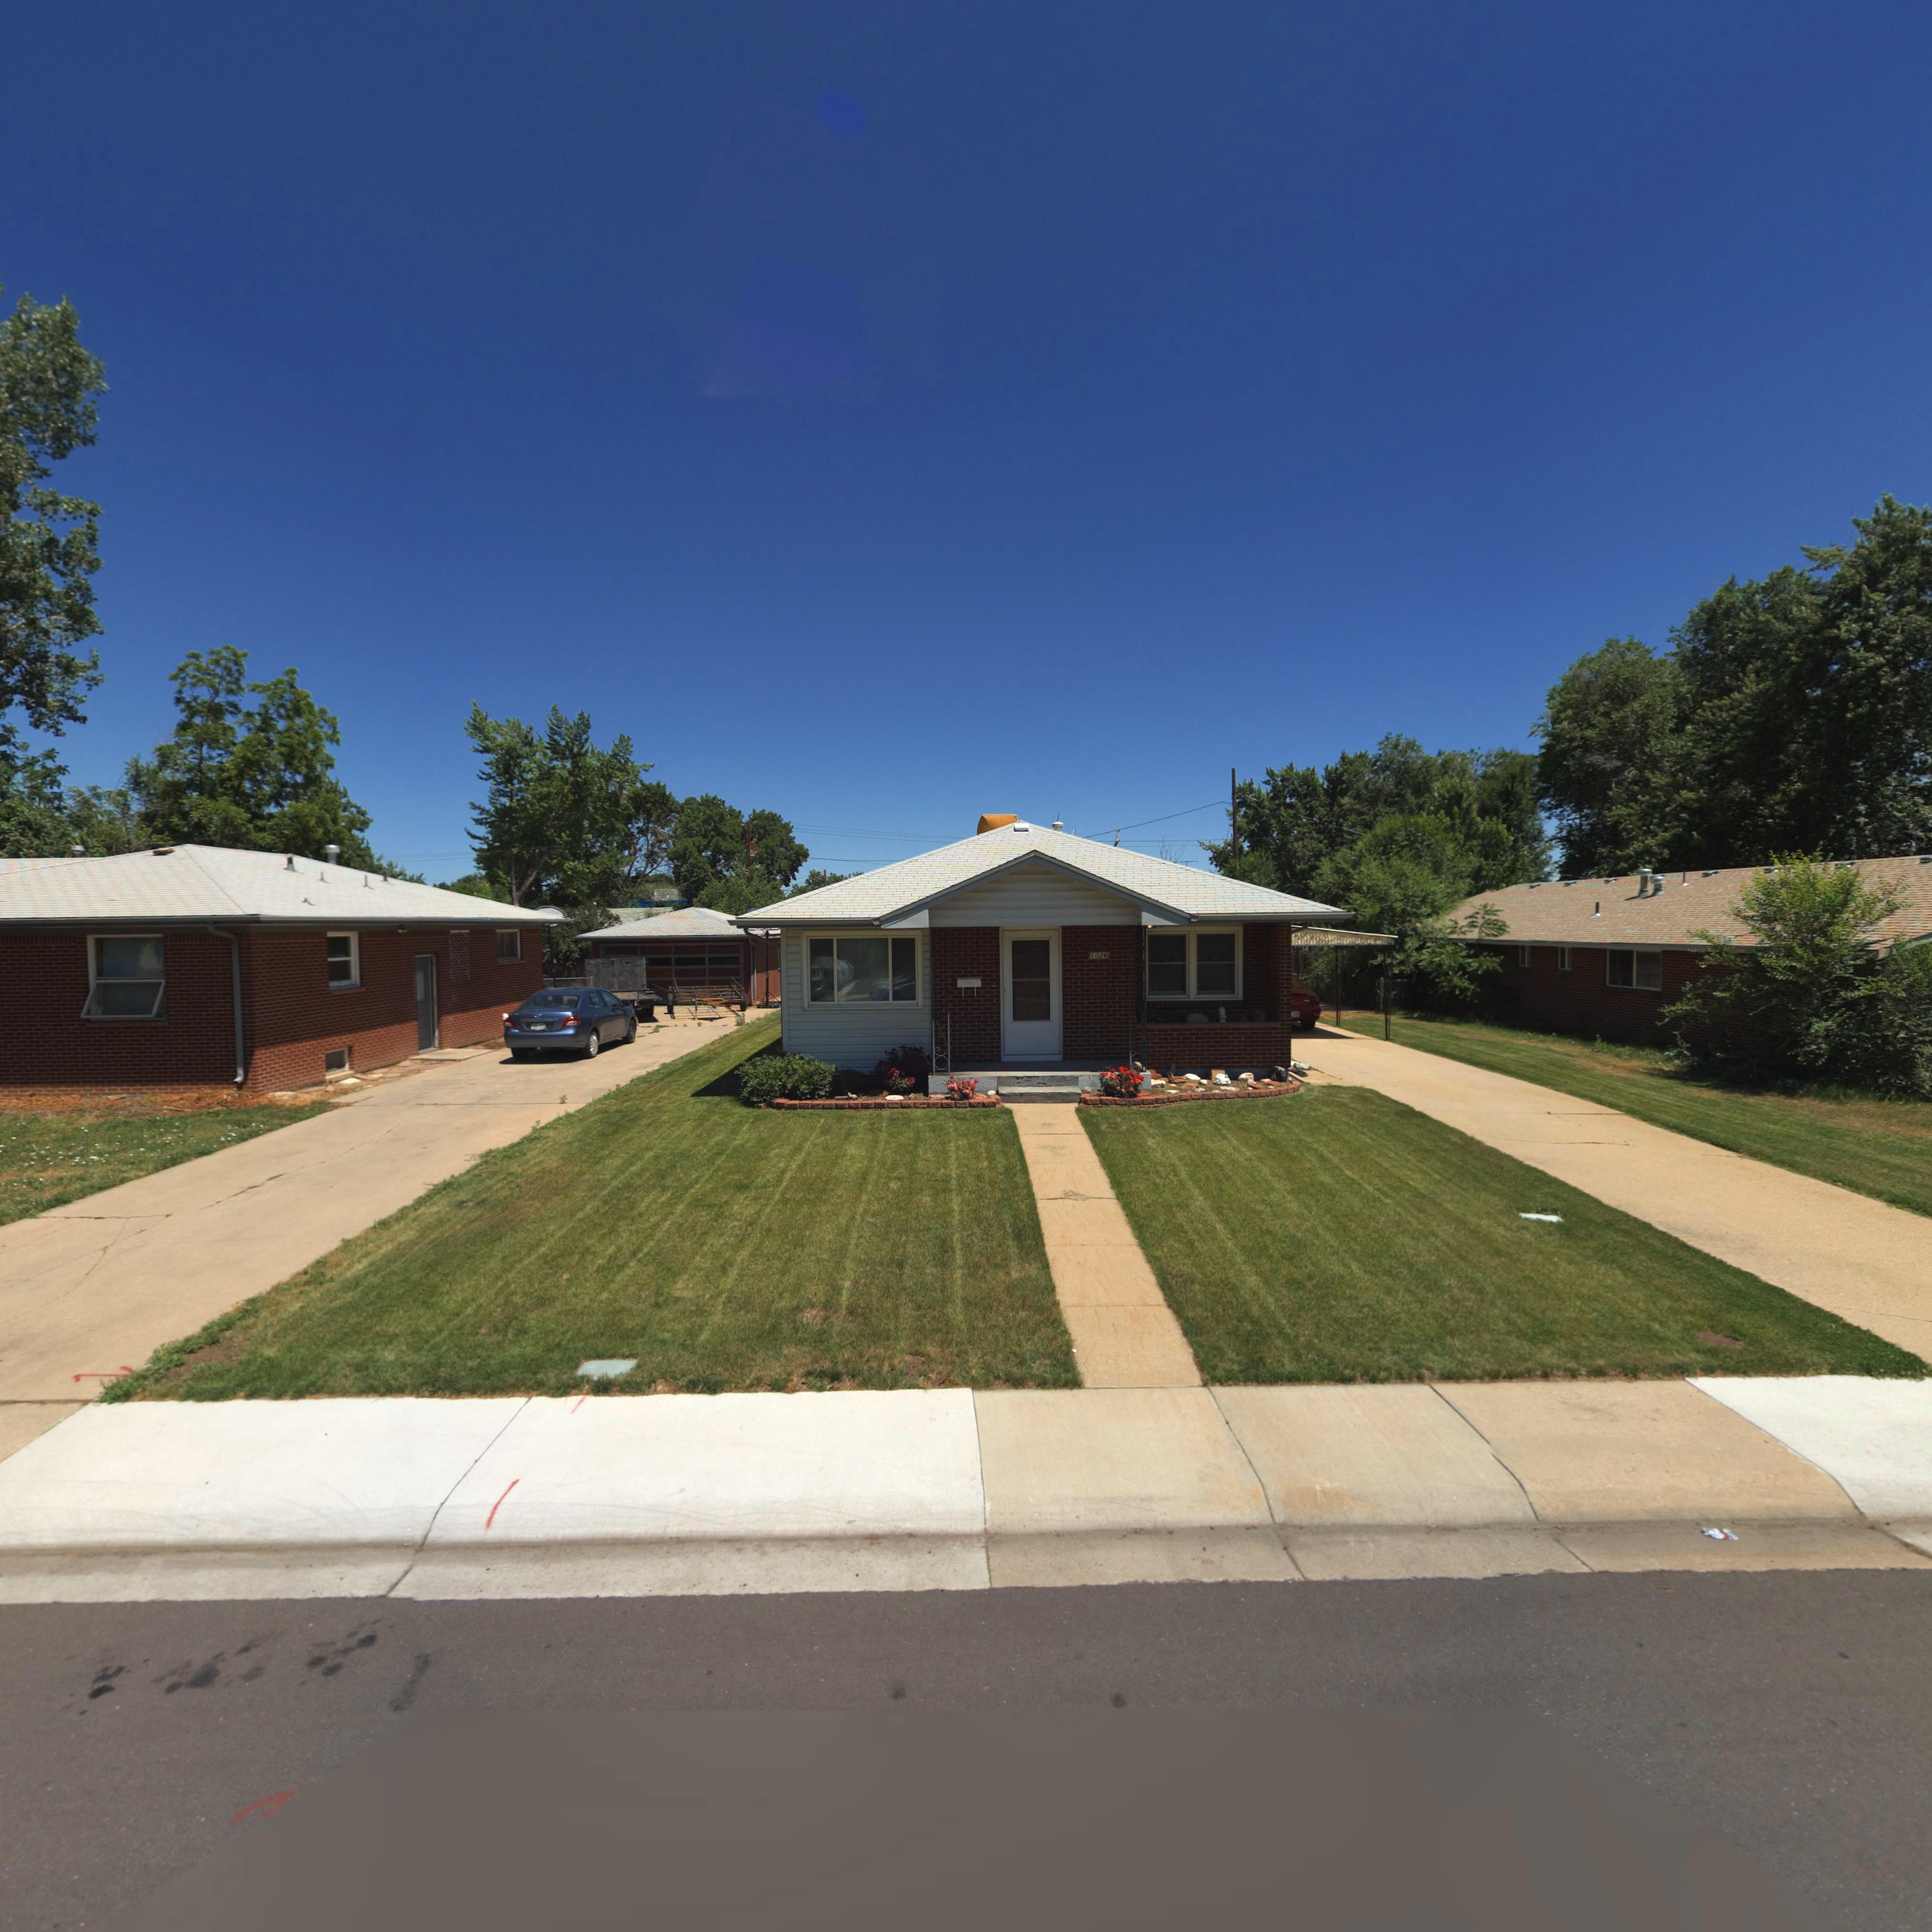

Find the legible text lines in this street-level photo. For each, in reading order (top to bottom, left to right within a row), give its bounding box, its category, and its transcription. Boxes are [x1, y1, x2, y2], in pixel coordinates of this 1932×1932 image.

[1090, 952, 1108, 958] StreetNumber: 1026